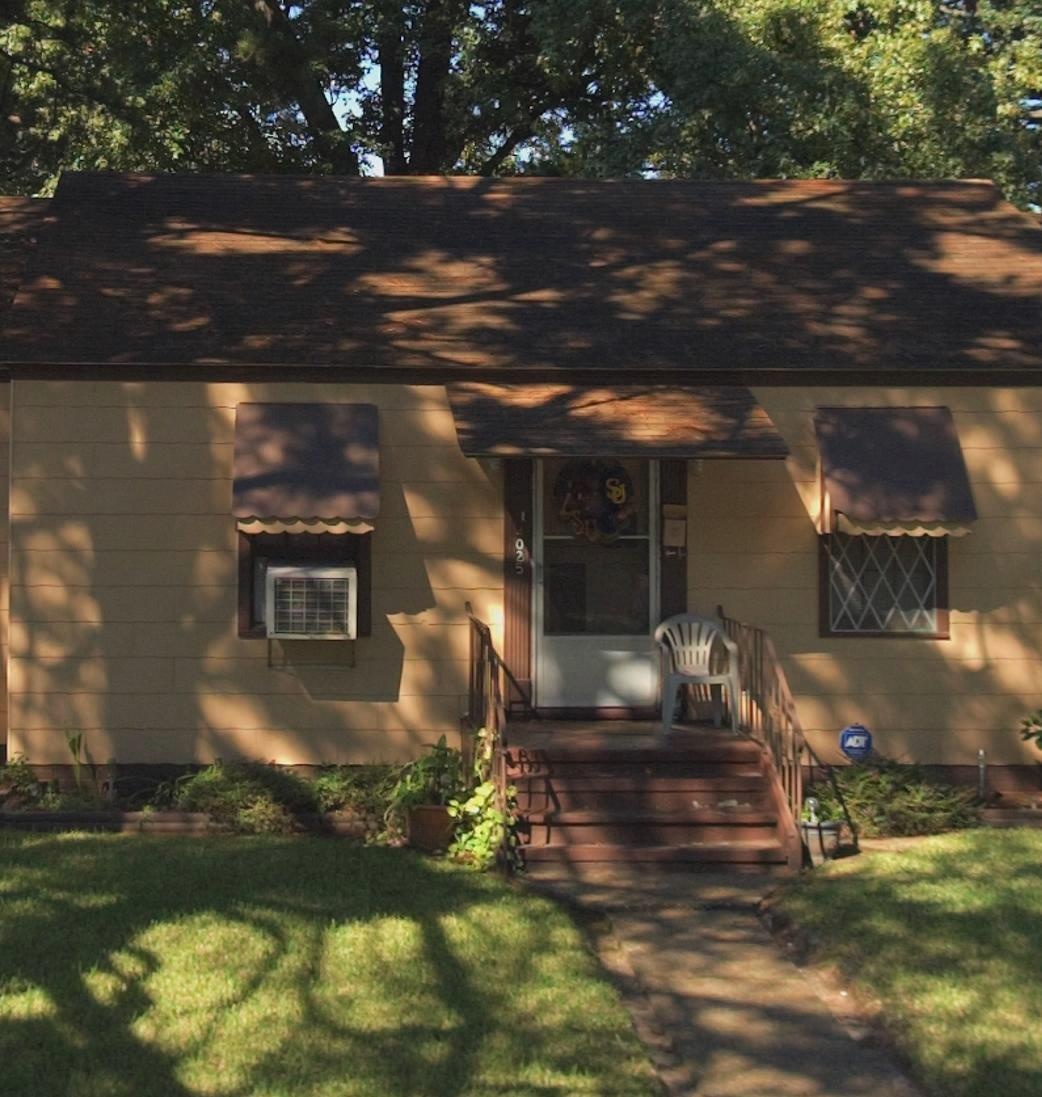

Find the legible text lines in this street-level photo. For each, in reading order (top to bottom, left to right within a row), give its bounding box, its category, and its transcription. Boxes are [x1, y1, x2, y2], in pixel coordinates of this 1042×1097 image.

[556, 490, 604, 545] None: LSU
[514, 524, 525, 576] StreetNumber: 4025
[842, 735, 869, 748] None: ADT